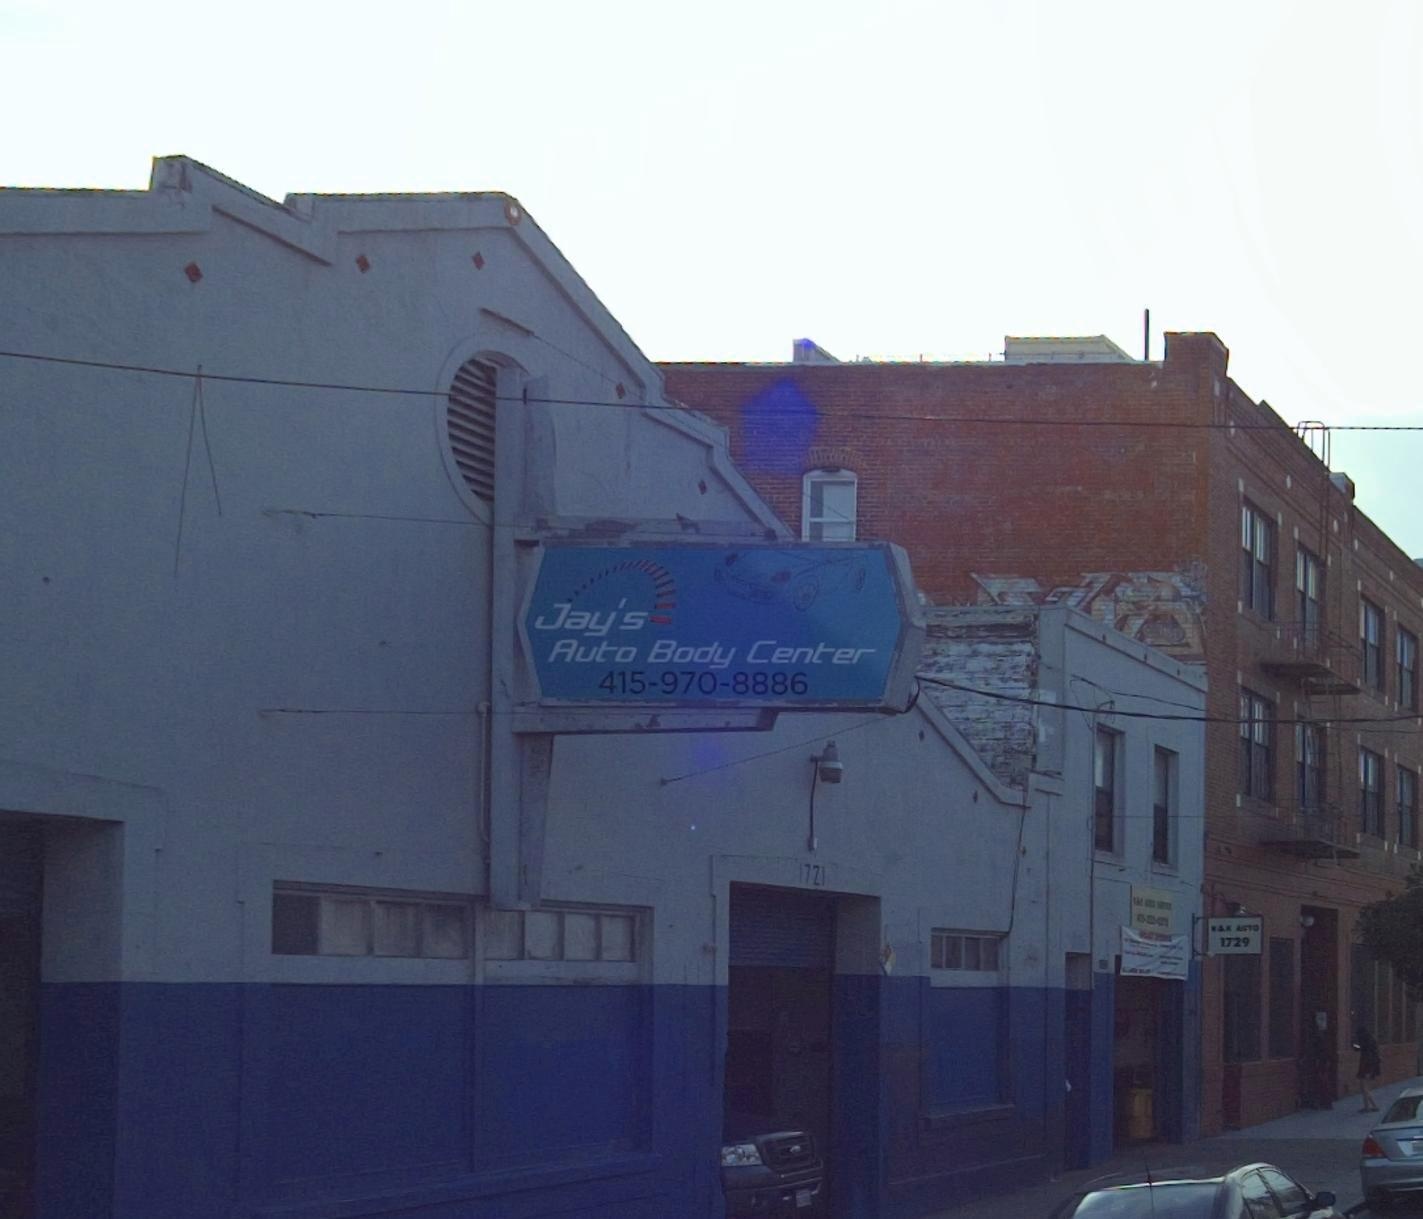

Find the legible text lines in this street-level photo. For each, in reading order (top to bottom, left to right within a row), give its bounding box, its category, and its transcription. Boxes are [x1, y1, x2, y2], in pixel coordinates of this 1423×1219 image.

[529, 596, 654, 639] BusinessName: Jay's
[543, 636, 879, 672] BusinessName: Auto Body Center
[594, 666, 814, 699] None: 415-970-8886
[796, 859, 830, 891] StreetNumber: 1721
[1218, 935, 1252, 949] StreetNumber: 1729
[1209, 922, 1262, 935] BusinessName: K&K AUTO